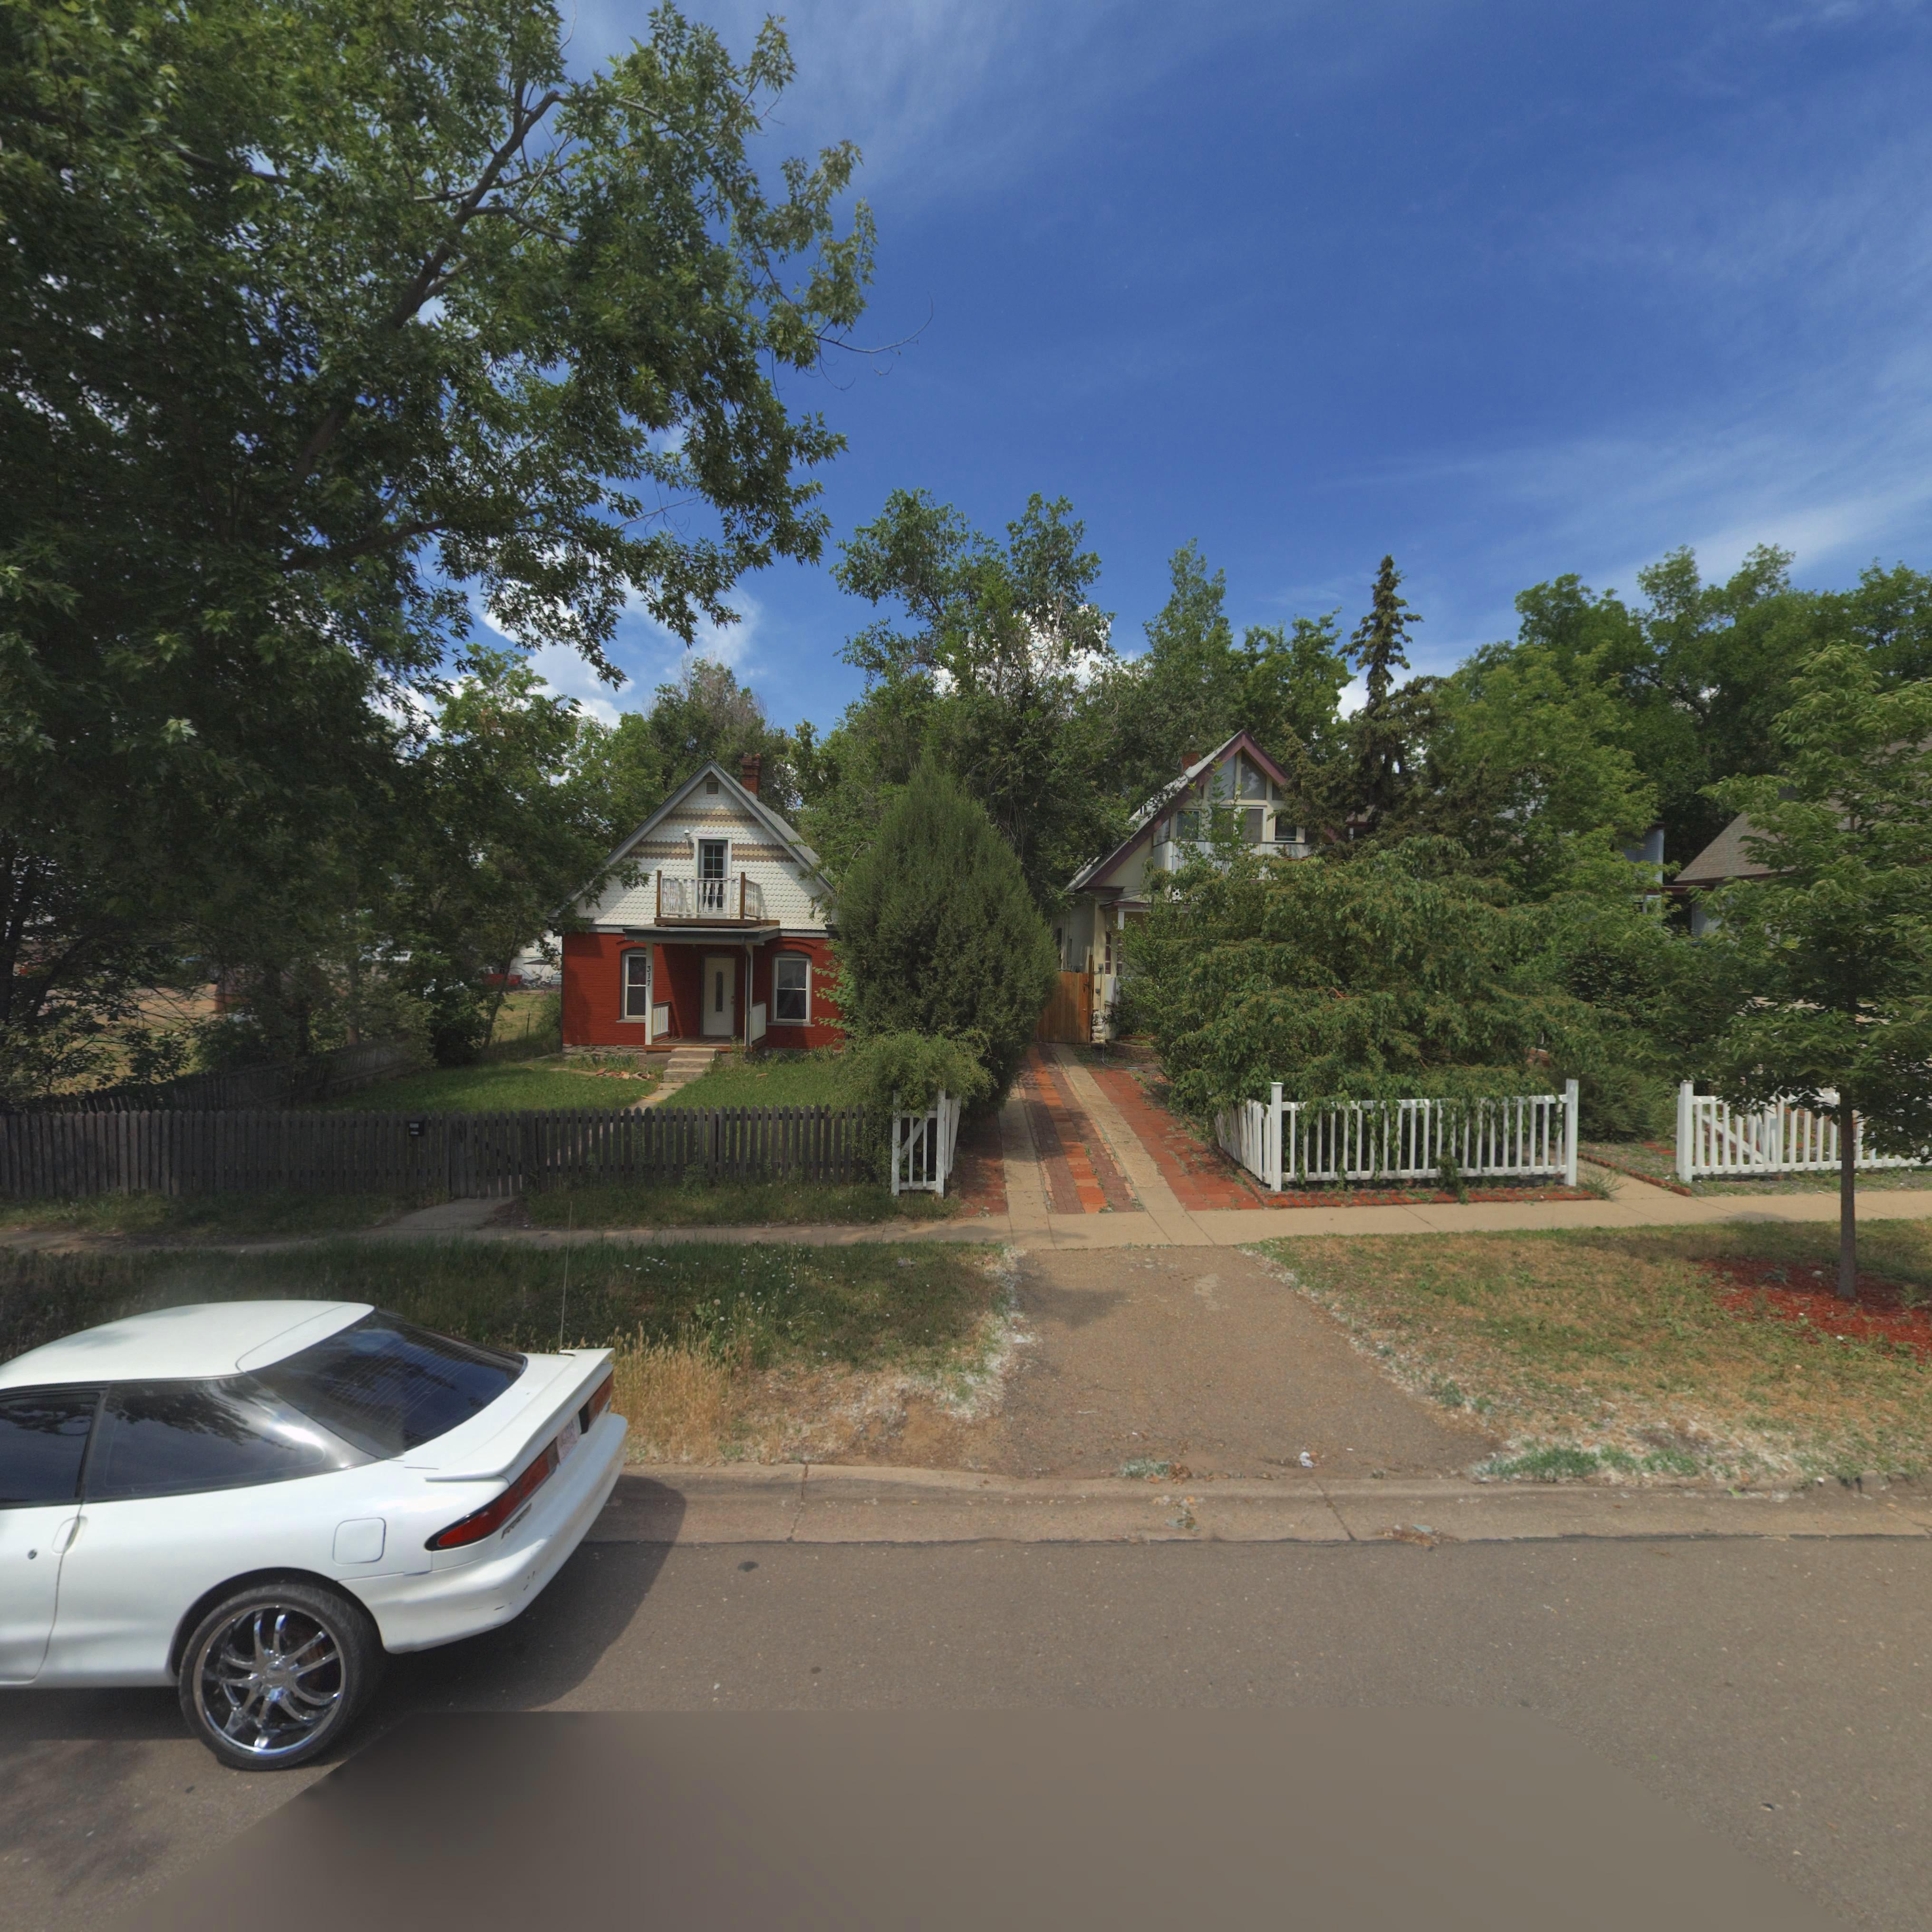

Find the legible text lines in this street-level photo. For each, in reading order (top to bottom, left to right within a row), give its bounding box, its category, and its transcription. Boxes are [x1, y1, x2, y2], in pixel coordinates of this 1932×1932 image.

[646, 964, 652, 987] StreetNumber: 317